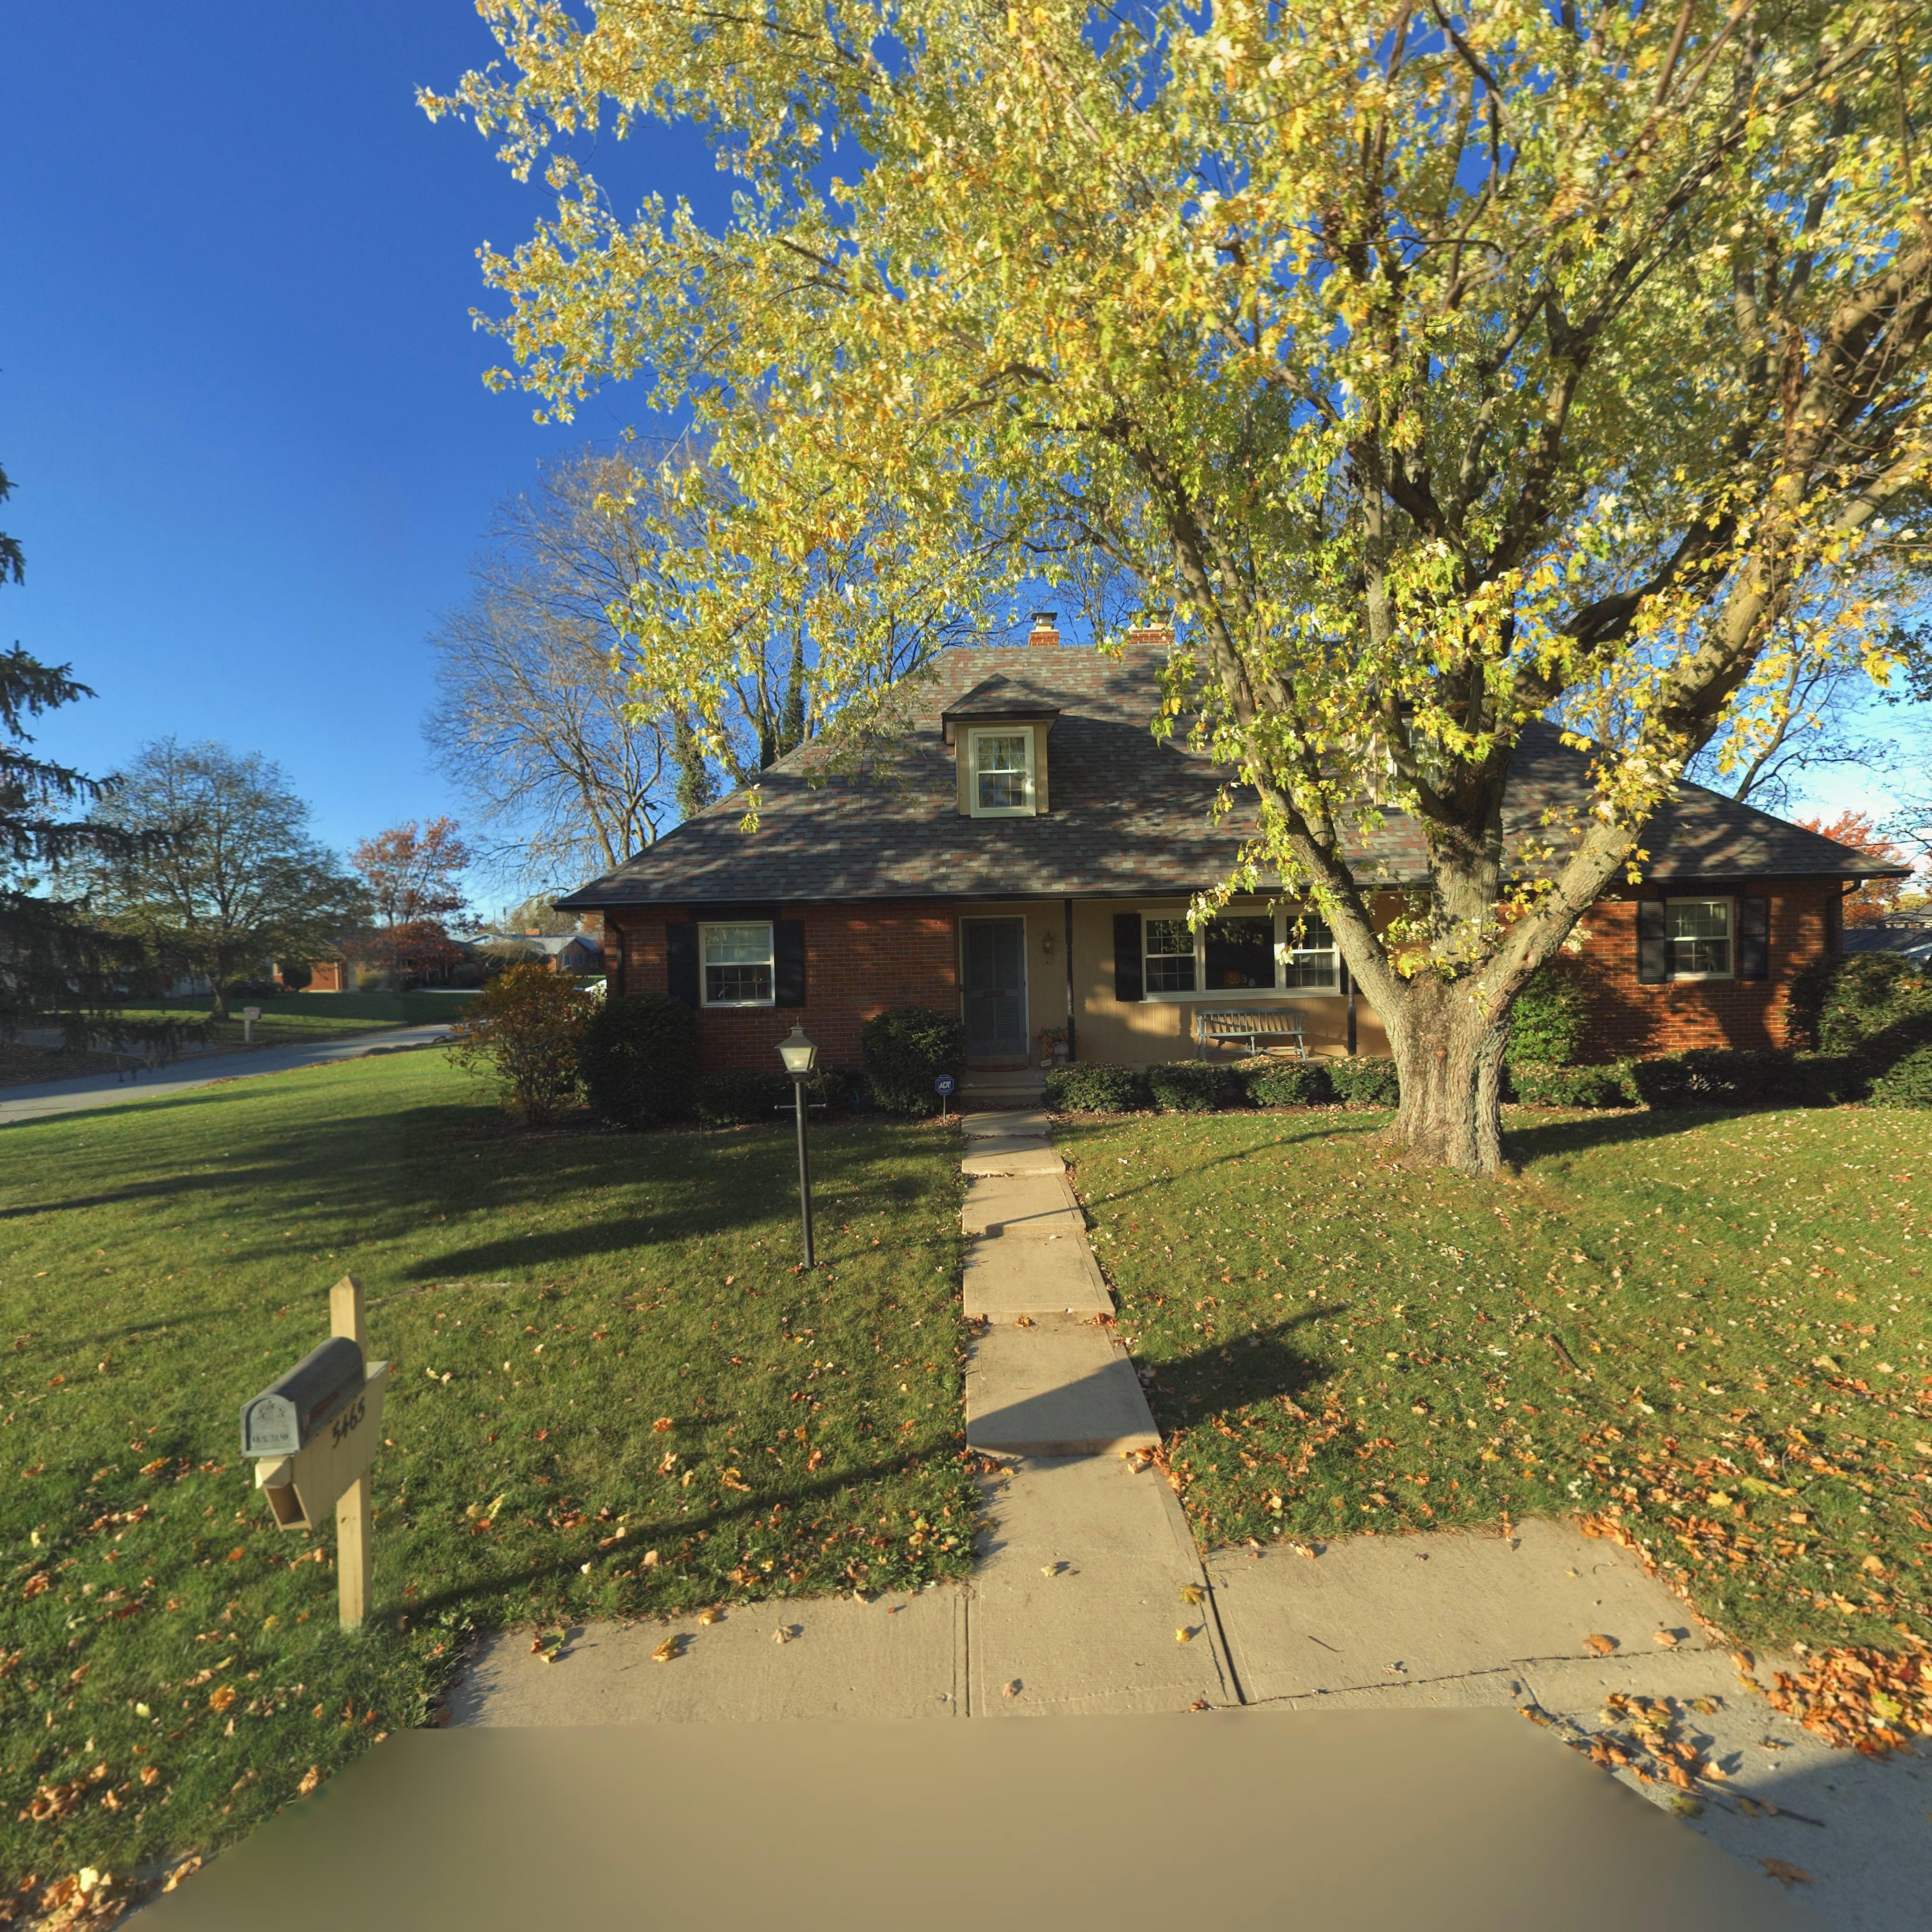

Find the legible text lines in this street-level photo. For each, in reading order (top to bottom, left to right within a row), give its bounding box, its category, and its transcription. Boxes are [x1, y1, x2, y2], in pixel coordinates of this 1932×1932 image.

[329, 1393, 367, 1451] StreetNumber: 5465